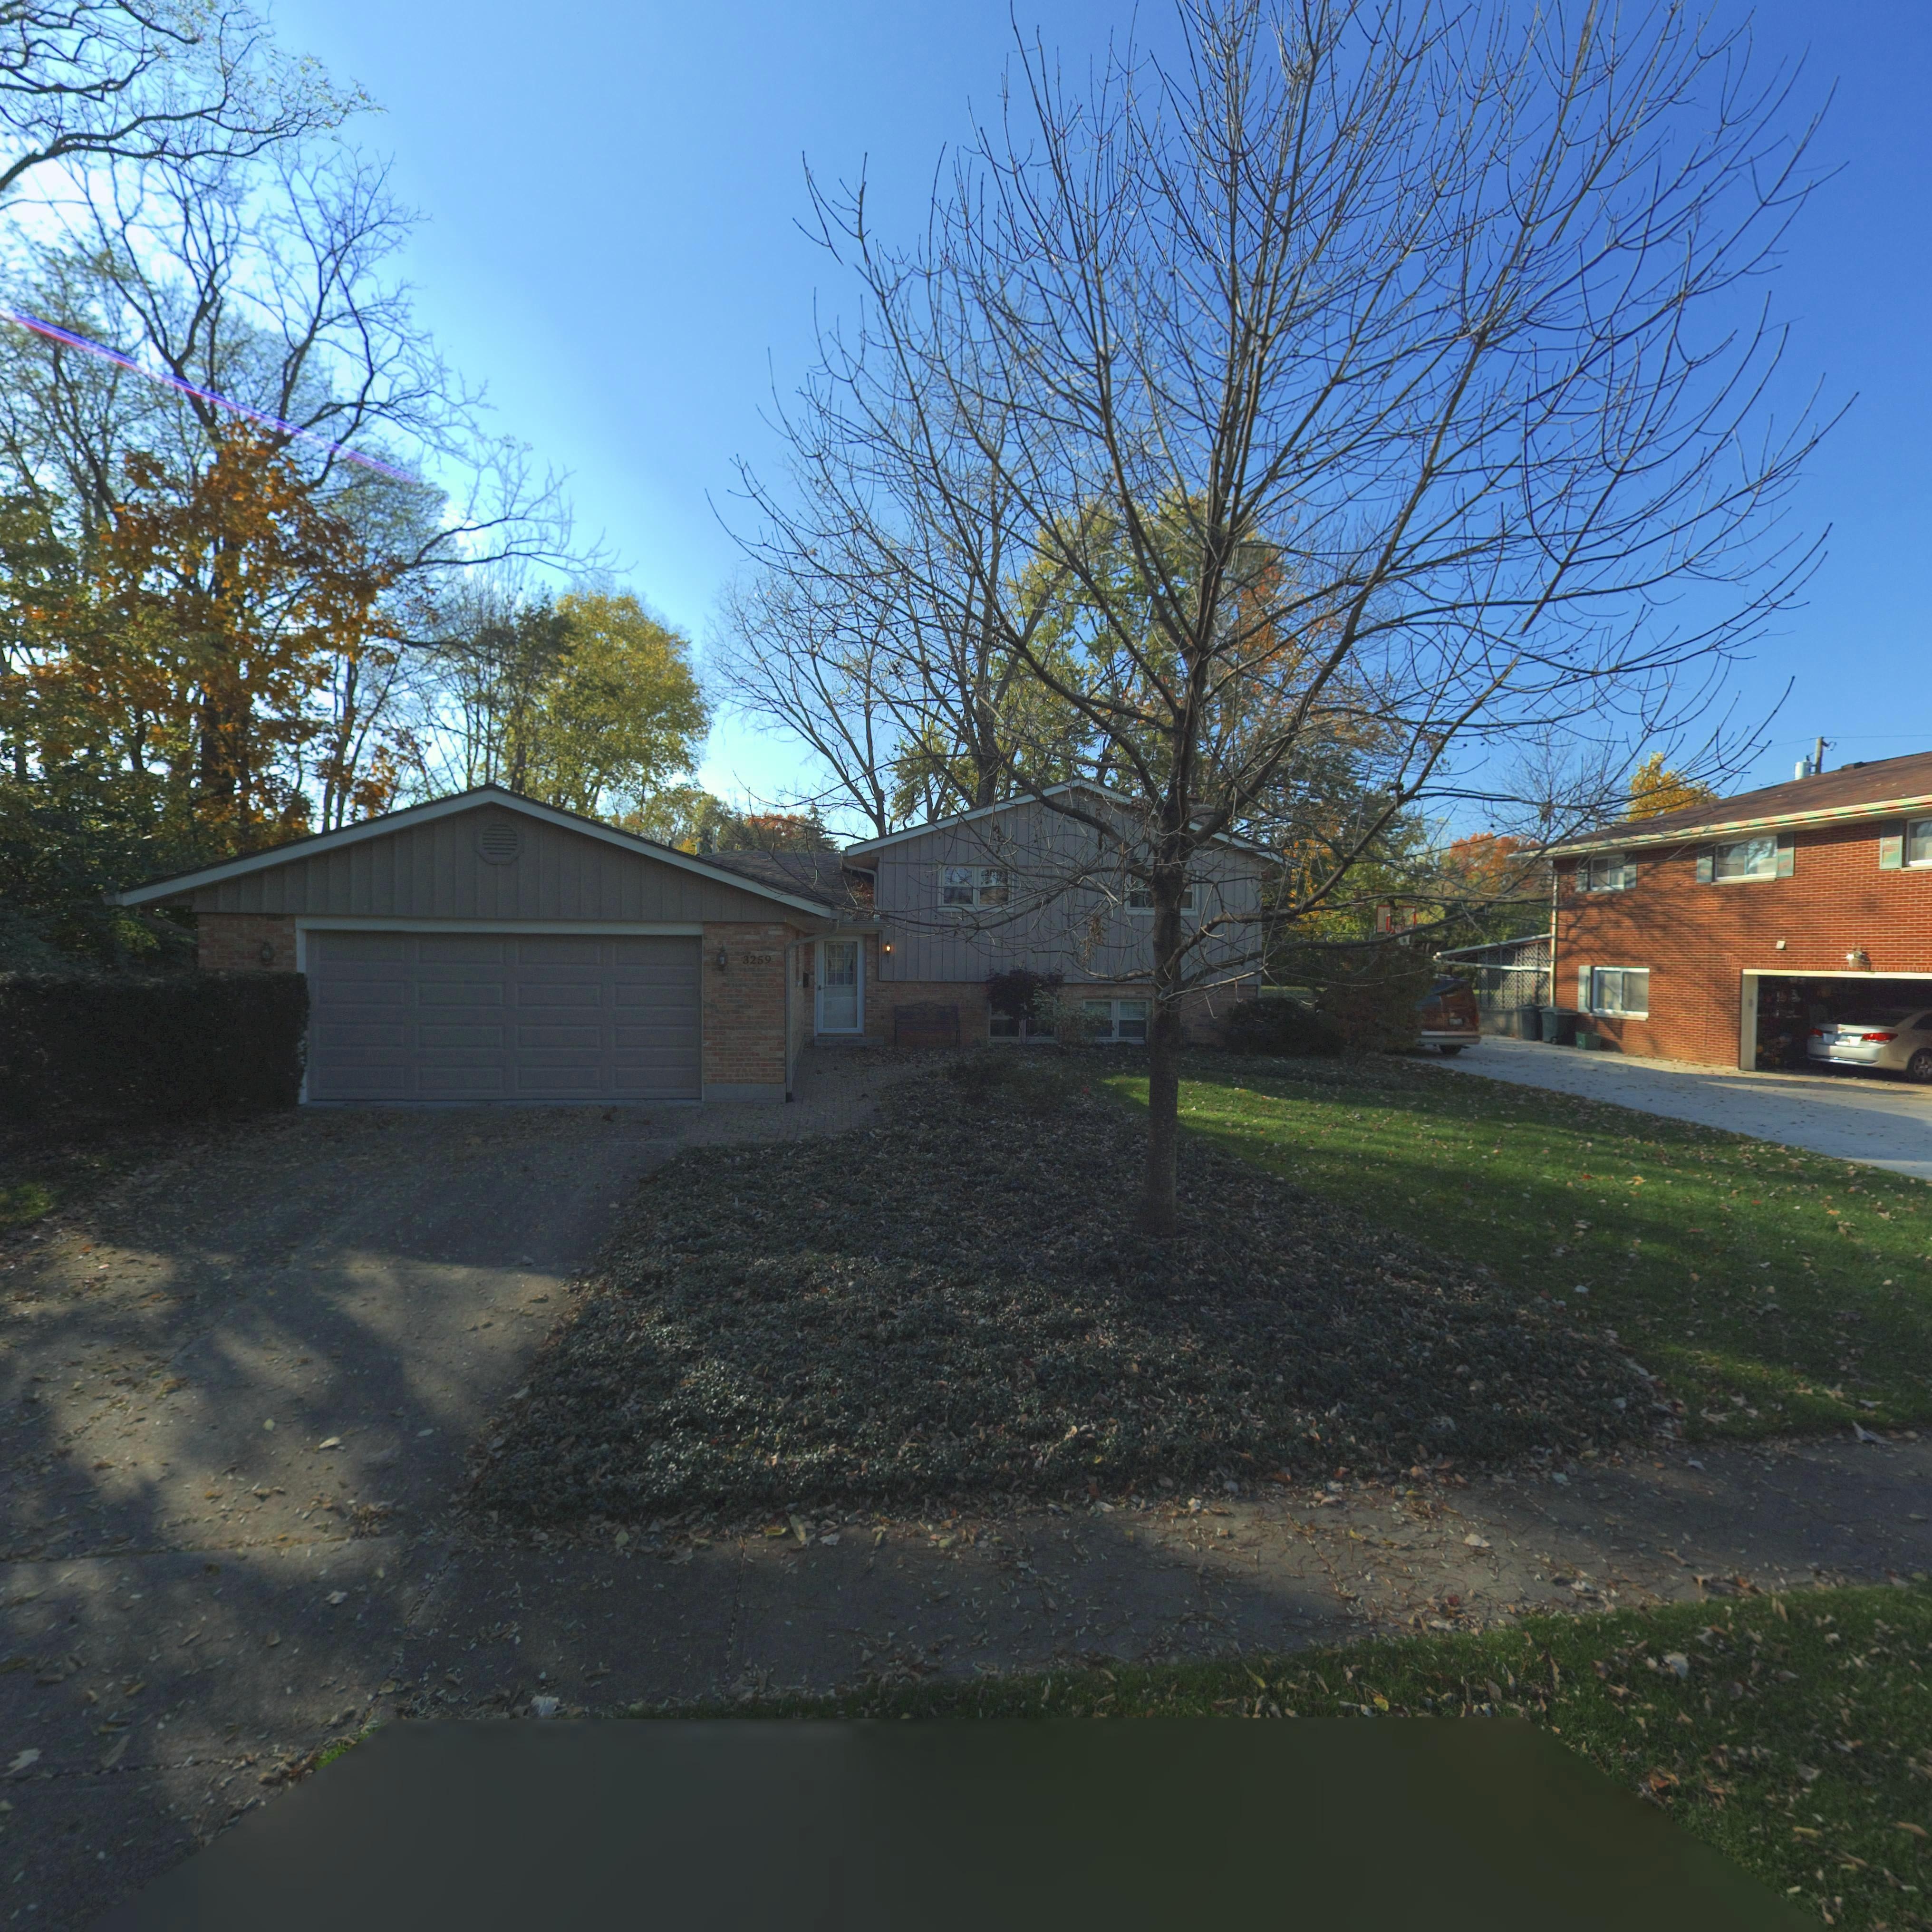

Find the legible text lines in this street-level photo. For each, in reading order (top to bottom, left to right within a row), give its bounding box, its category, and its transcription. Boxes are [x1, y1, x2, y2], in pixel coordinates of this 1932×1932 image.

[741, 954, 772, 966] StreetNumber: 3259